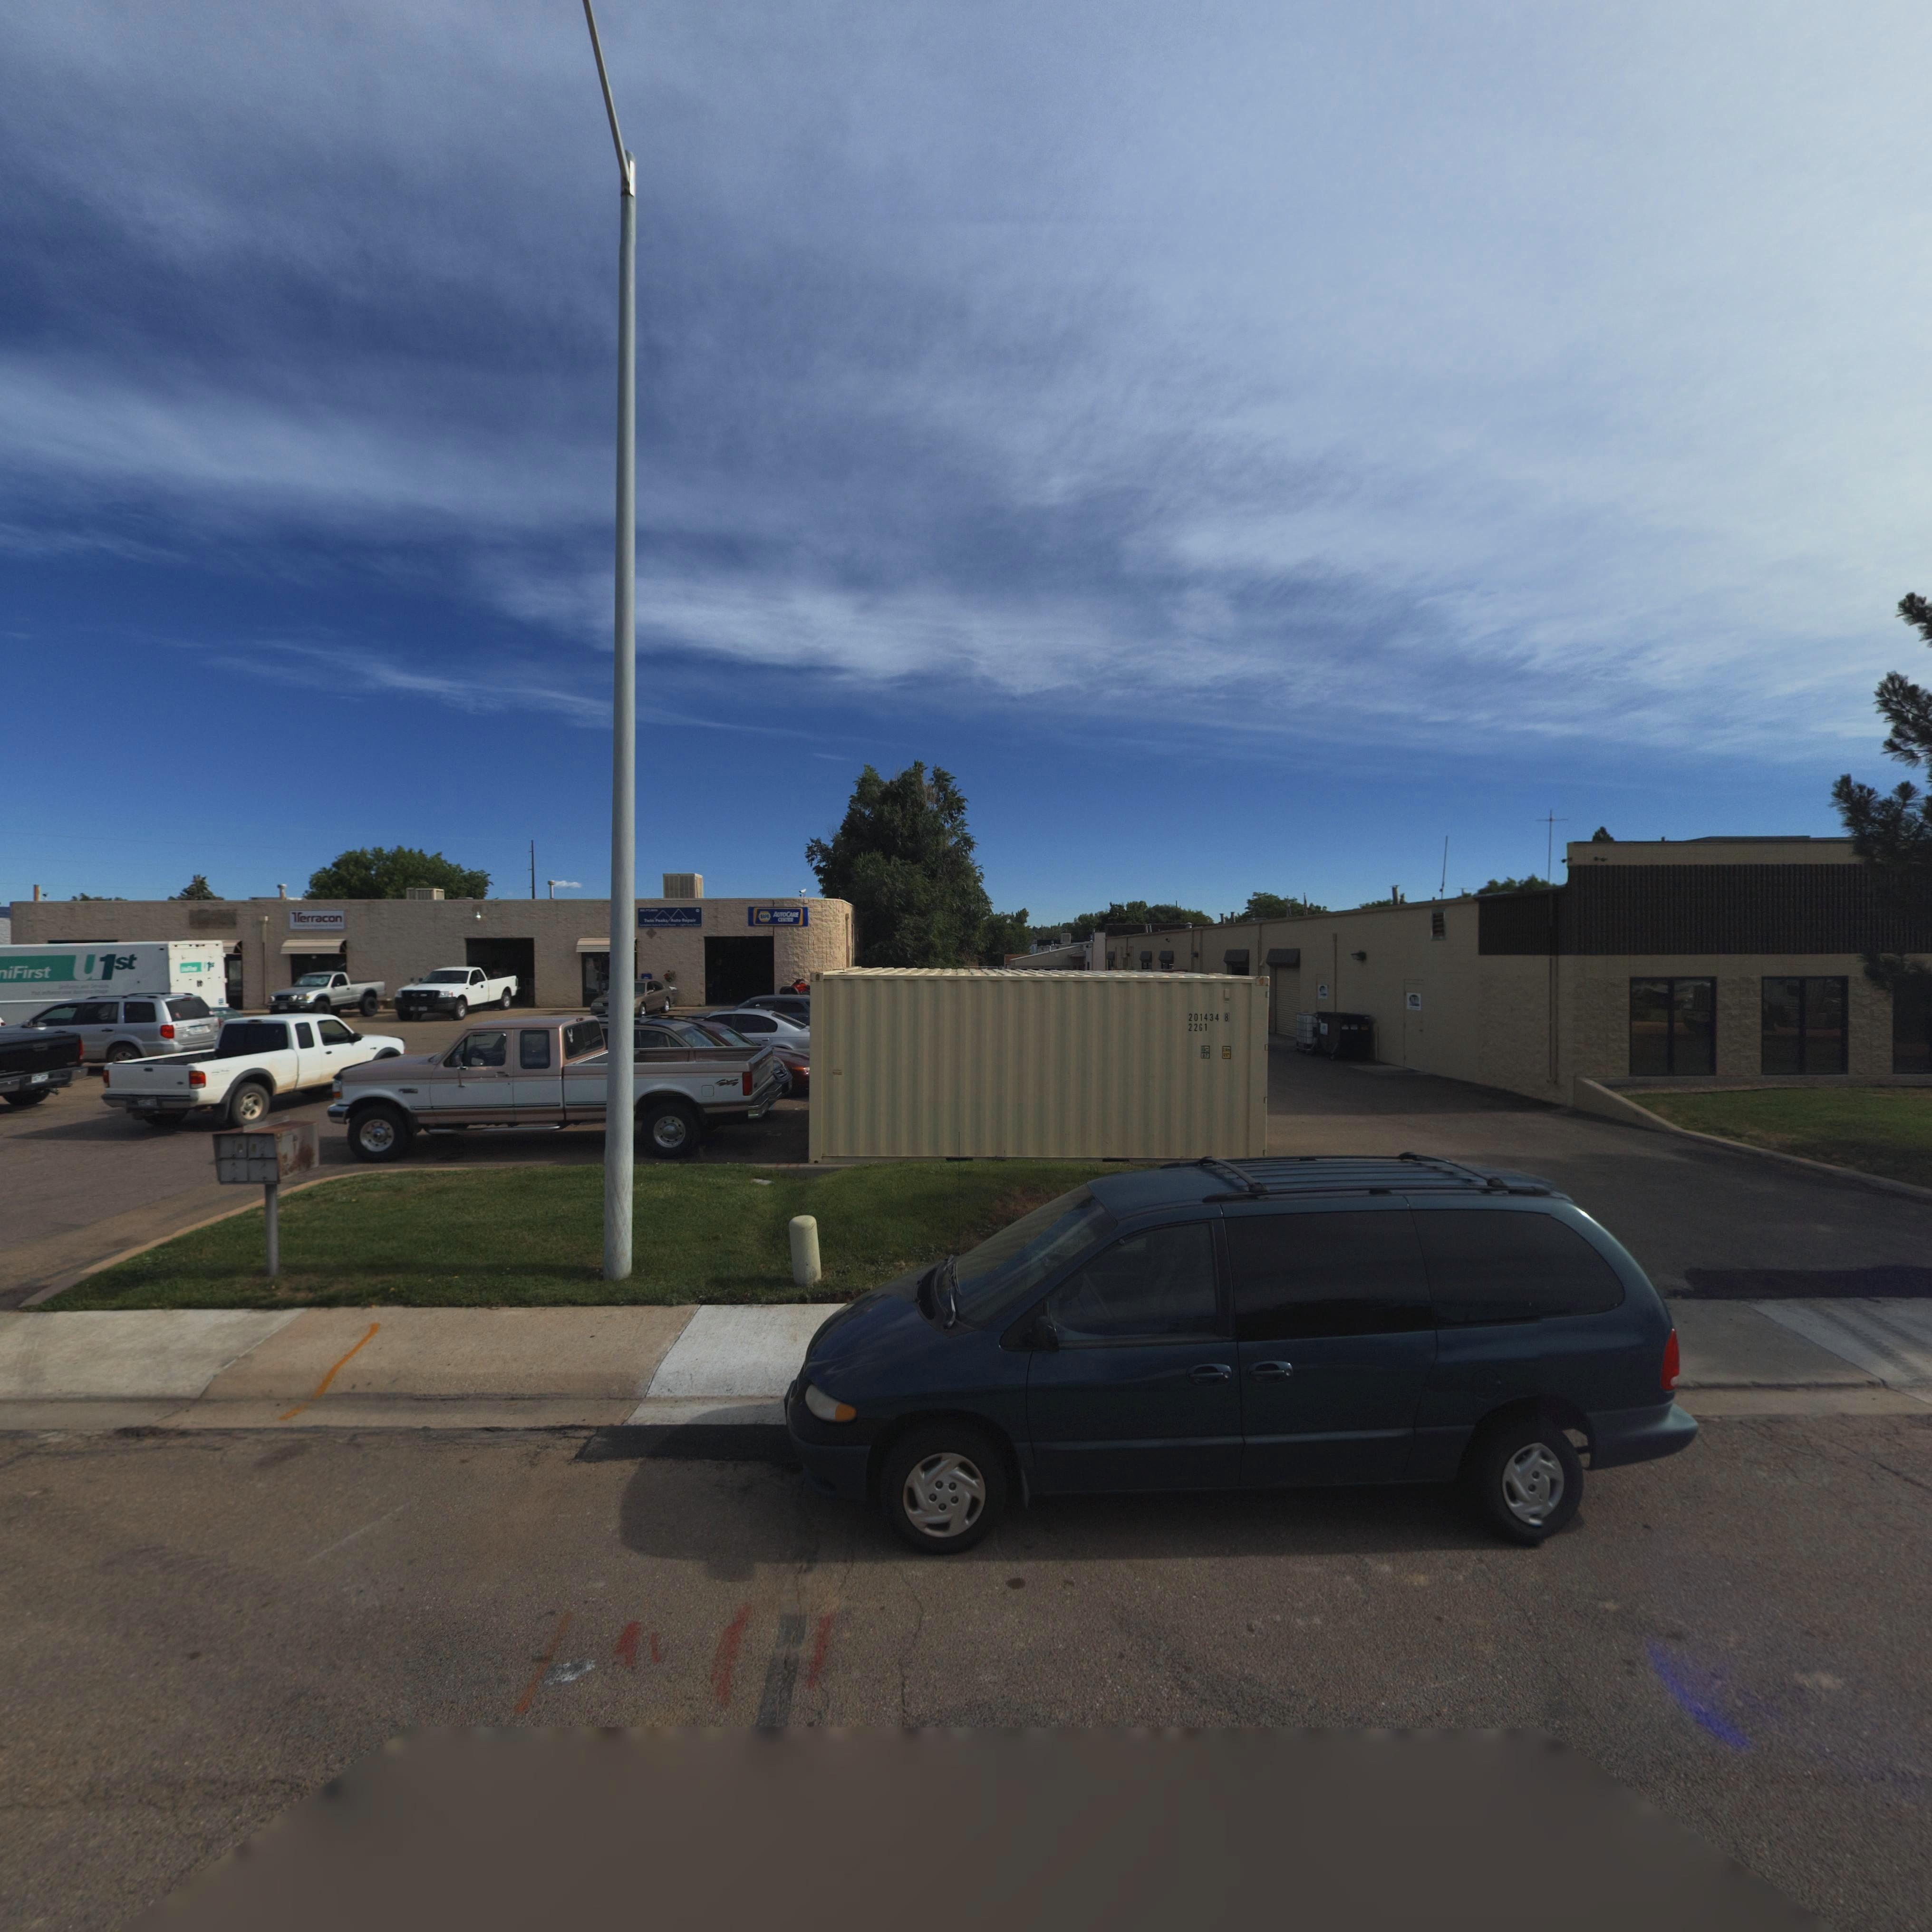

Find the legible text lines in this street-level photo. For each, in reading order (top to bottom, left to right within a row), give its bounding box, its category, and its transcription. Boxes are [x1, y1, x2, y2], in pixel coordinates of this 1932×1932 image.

[290, 911, 342, 922] BusinessName: *erracon
[760, 914, 769, 918] BusinessName: **P*
[773, 911, 799, 917] BusinessName: AUTOCARE
[643, 918, 696, 923] BusinessName: T*** P**k* A**o Re****
[778, 918, 793, 922] BusinessName: CE*TER